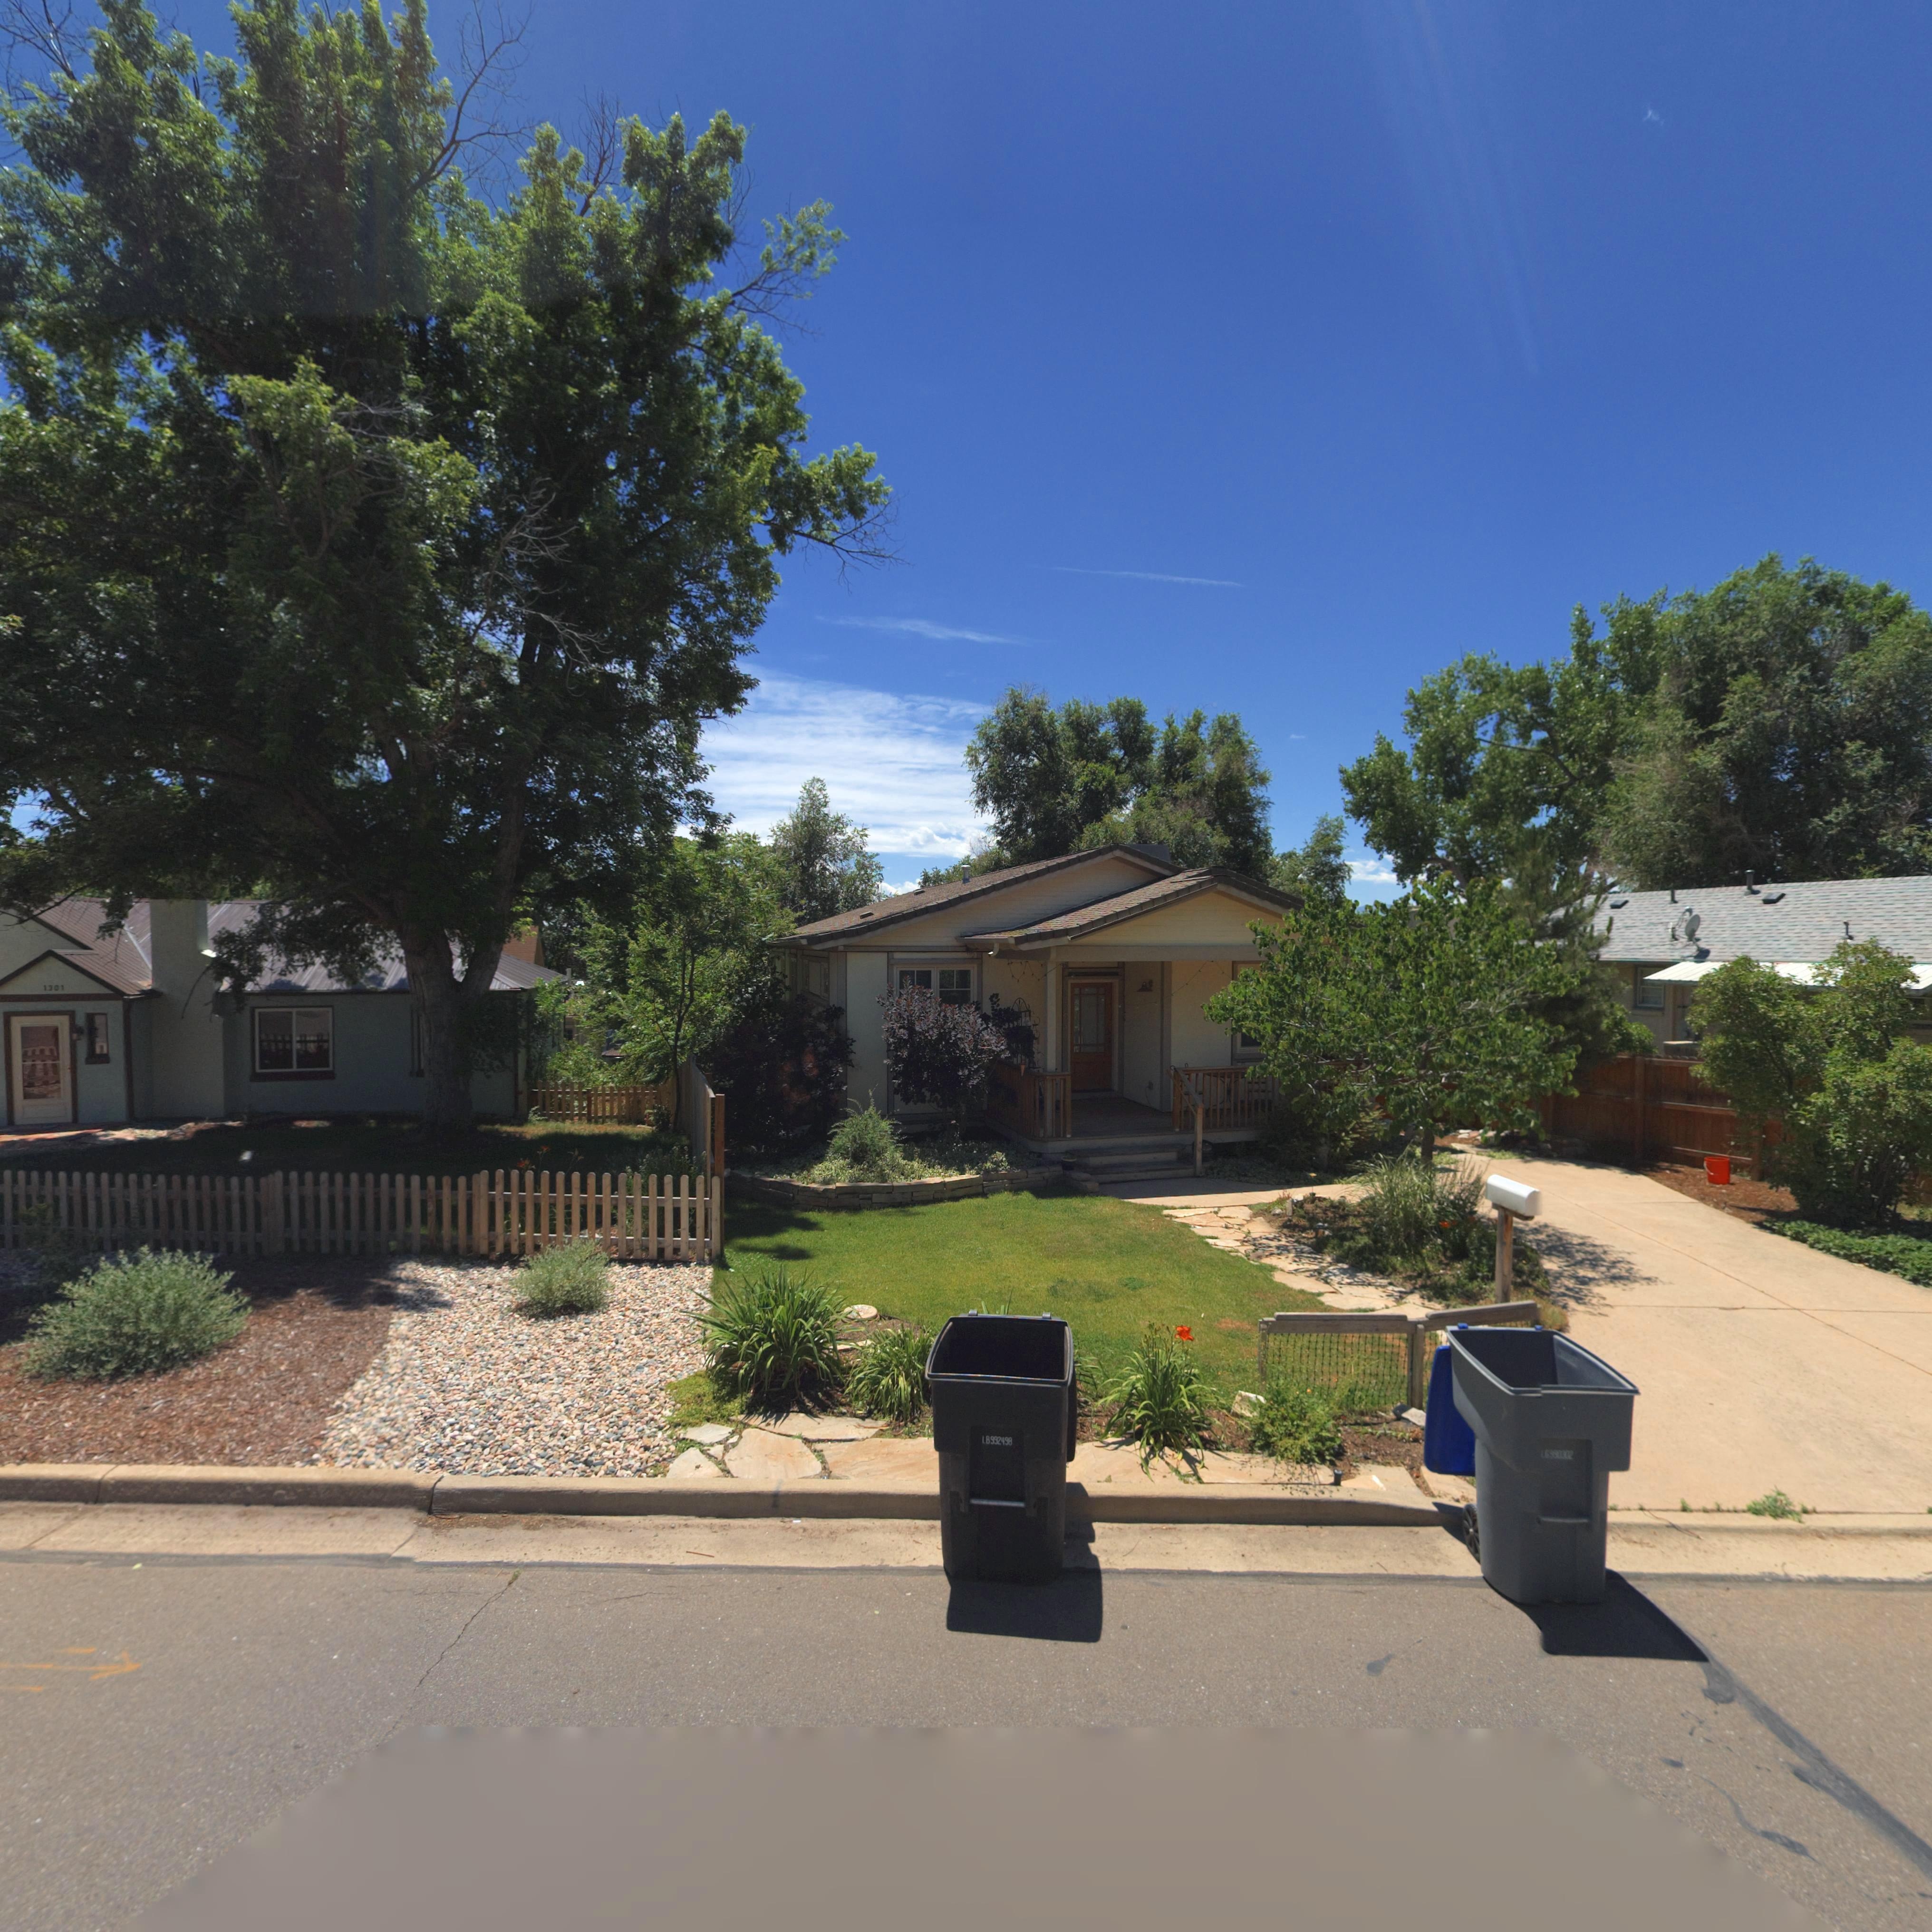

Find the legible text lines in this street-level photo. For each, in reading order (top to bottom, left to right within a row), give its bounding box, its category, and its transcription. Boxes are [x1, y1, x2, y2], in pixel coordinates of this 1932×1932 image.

[44, 985, 64, 991] StreetNumber: 1301